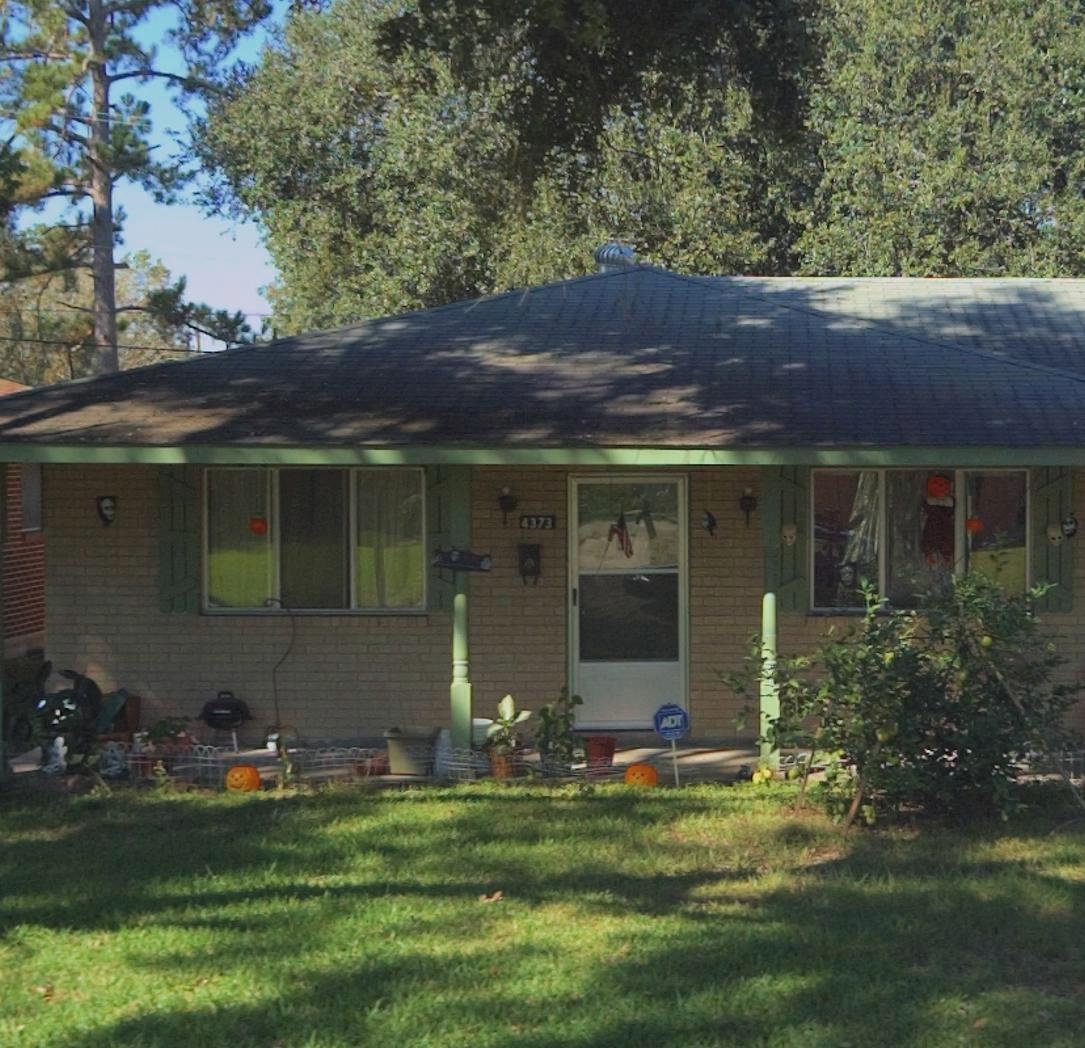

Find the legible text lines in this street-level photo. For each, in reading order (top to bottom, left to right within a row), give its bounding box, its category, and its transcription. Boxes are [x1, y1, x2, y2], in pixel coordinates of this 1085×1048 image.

[521, 517, 553, 529] StreetNumber: 4373
[659, 714, 684, 729] None: ADT